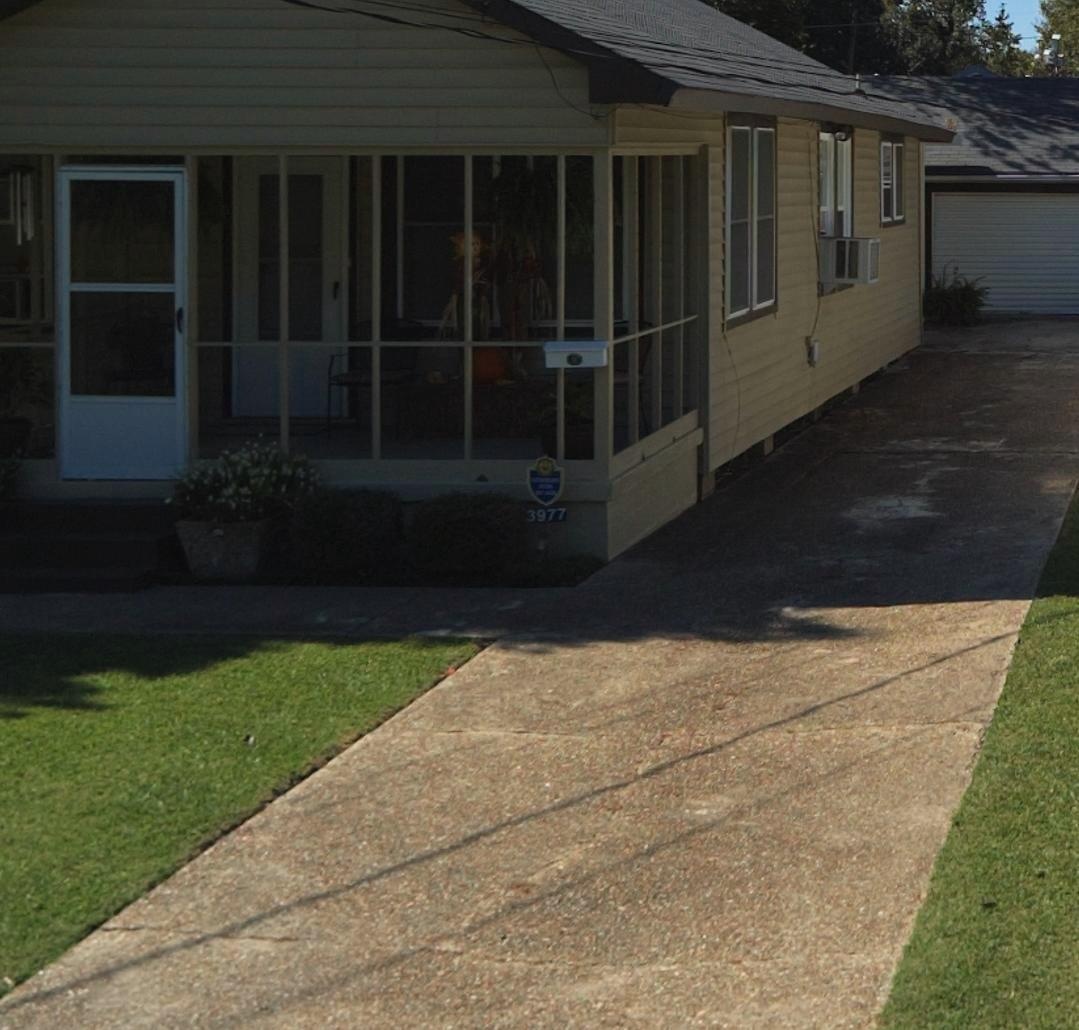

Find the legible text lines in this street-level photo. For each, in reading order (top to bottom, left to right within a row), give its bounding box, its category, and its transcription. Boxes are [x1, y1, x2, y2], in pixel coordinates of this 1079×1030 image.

[526, 506, 568, 523] StreetNumber: 3977